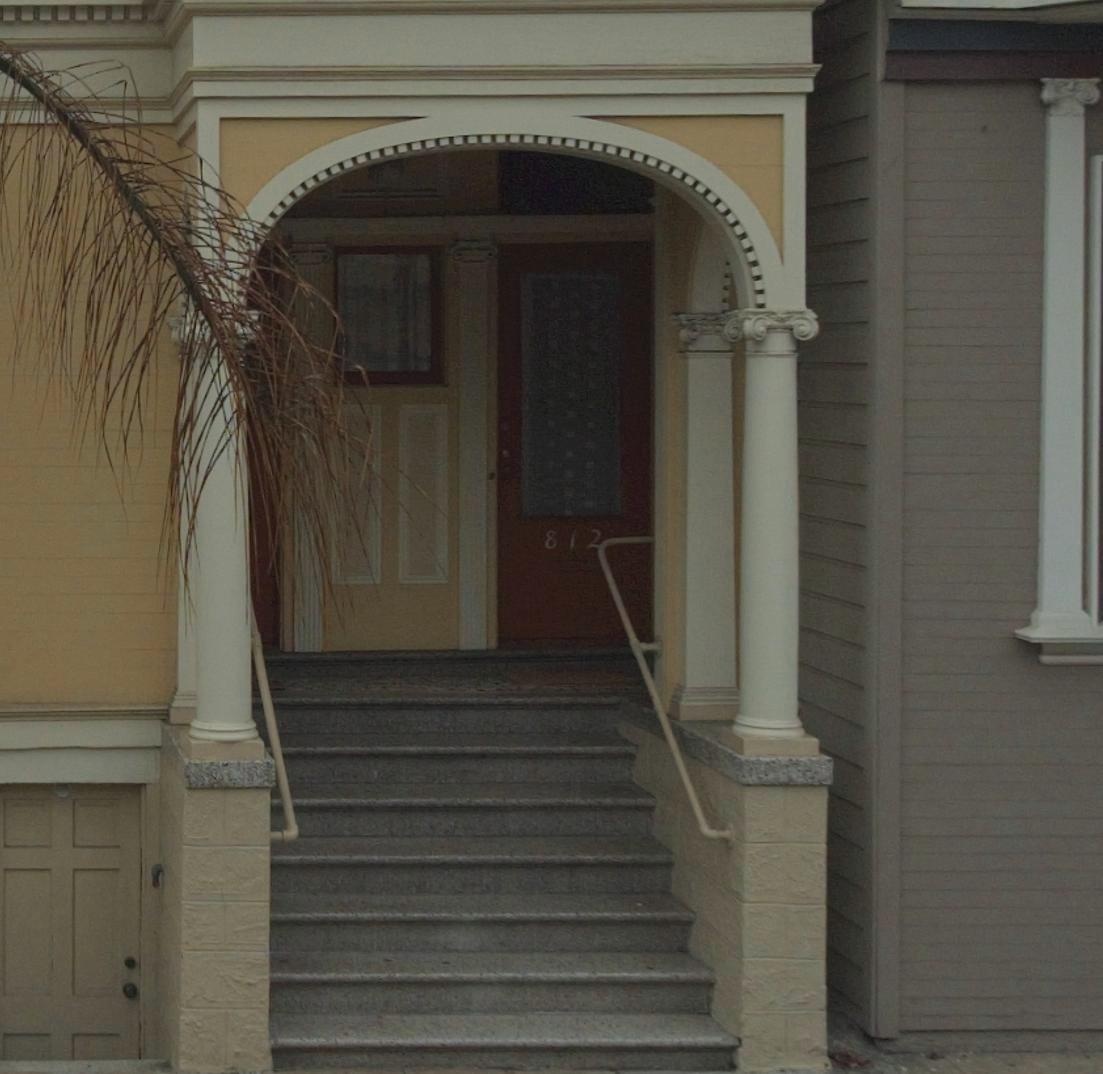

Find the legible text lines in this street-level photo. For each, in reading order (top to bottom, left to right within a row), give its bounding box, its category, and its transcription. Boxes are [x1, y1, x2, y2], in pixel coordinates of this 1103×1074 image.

[542, 527, 604, 550] StreetNumber: 812